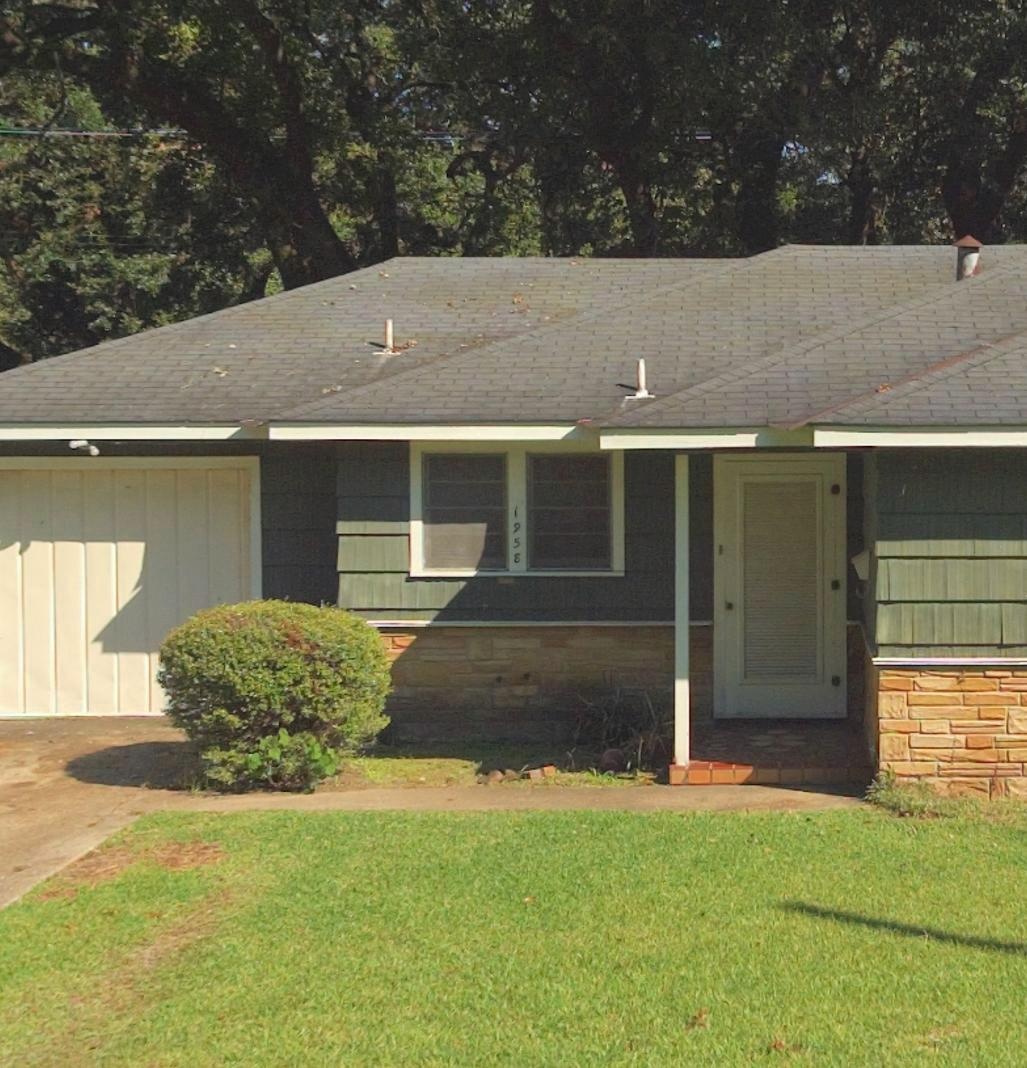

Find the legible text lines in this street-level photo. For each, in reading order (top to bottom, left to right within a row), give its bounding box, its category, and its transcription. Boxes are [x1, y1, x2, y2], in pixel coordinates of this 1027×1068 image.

[511, 504, 522, 564] StreetNumber: 1958